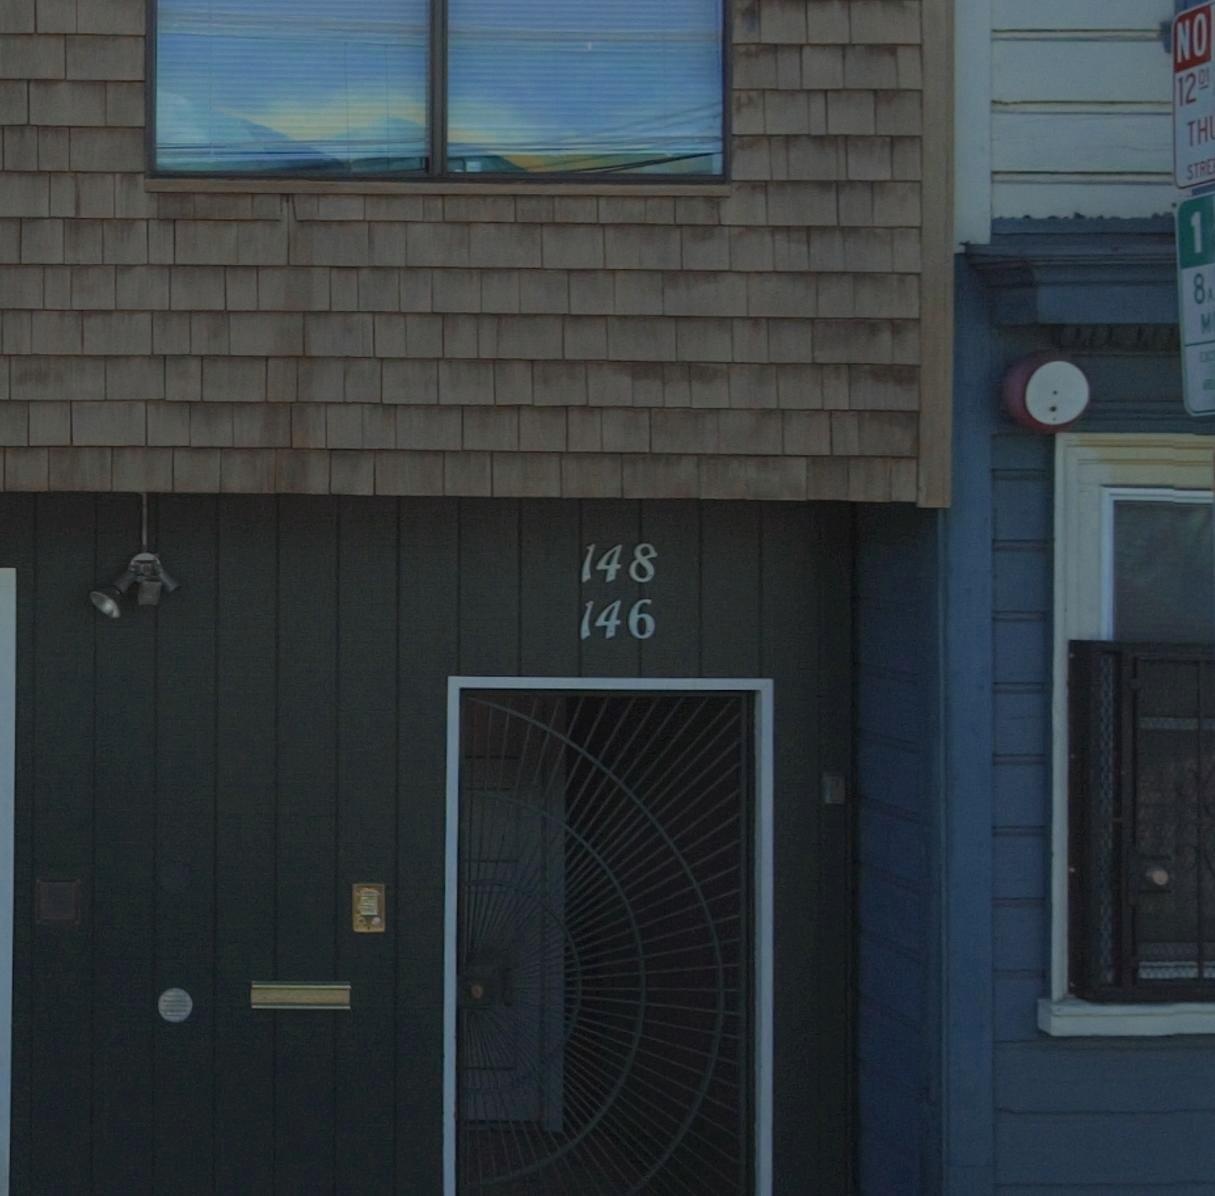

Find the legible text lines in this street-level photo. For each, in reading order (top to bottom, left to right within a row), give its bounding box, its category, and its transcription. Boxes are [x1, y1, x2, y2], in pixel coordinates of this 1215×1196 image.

[1172, 5, 1212, 70] None: NO
[1174, 64, 1211, 111] None: 120
[1183, 113, 1211, 150] None: TH
[1185, 154, 1215, 185] None: STRE
[1186, 201, 1206, 259] None: 1
[1190, 268, 1209, 310] None: 8
[1195, 310, 1215, 339] None: M
[575, 537, 661, 587] StreetNumber: 148
[573, 594, 660, 644] StreetNumber: 146